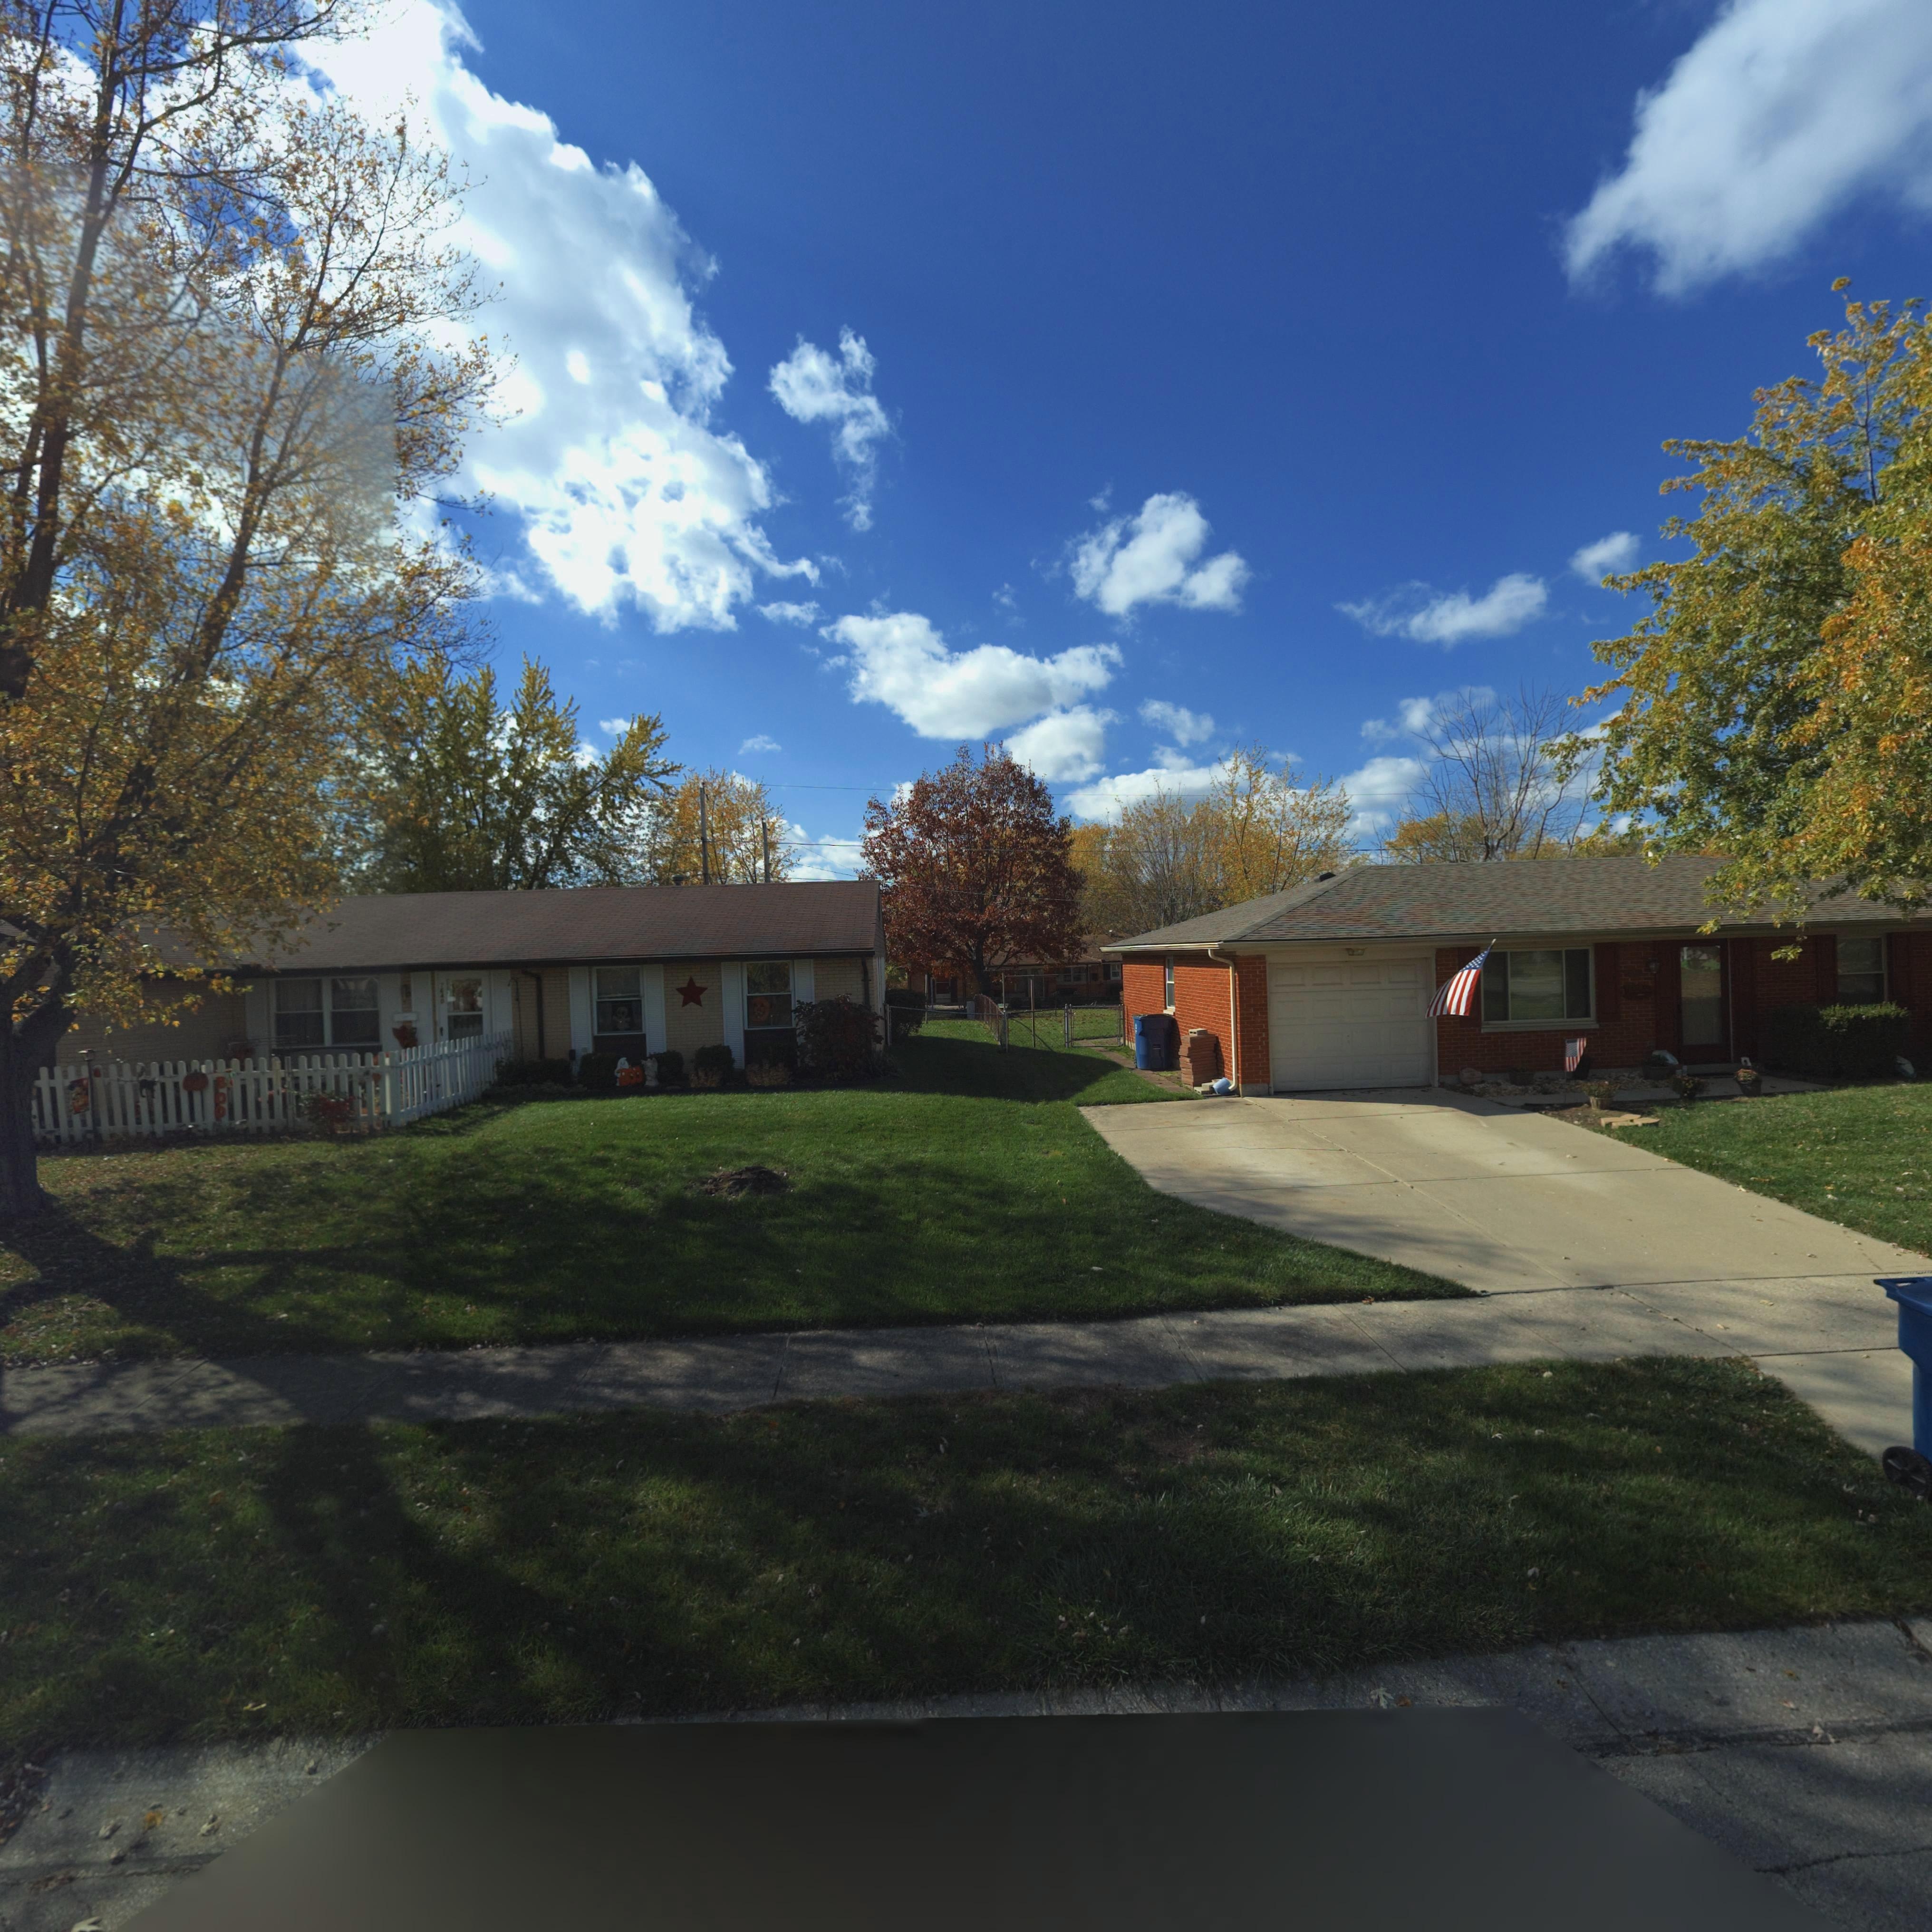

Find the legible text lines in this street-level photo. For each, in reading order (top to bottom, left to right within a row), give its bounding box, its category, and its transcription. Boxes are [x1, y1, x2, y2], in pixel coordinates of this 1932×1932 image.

[439, 980, 445, 1005] StreetNumber:  7640